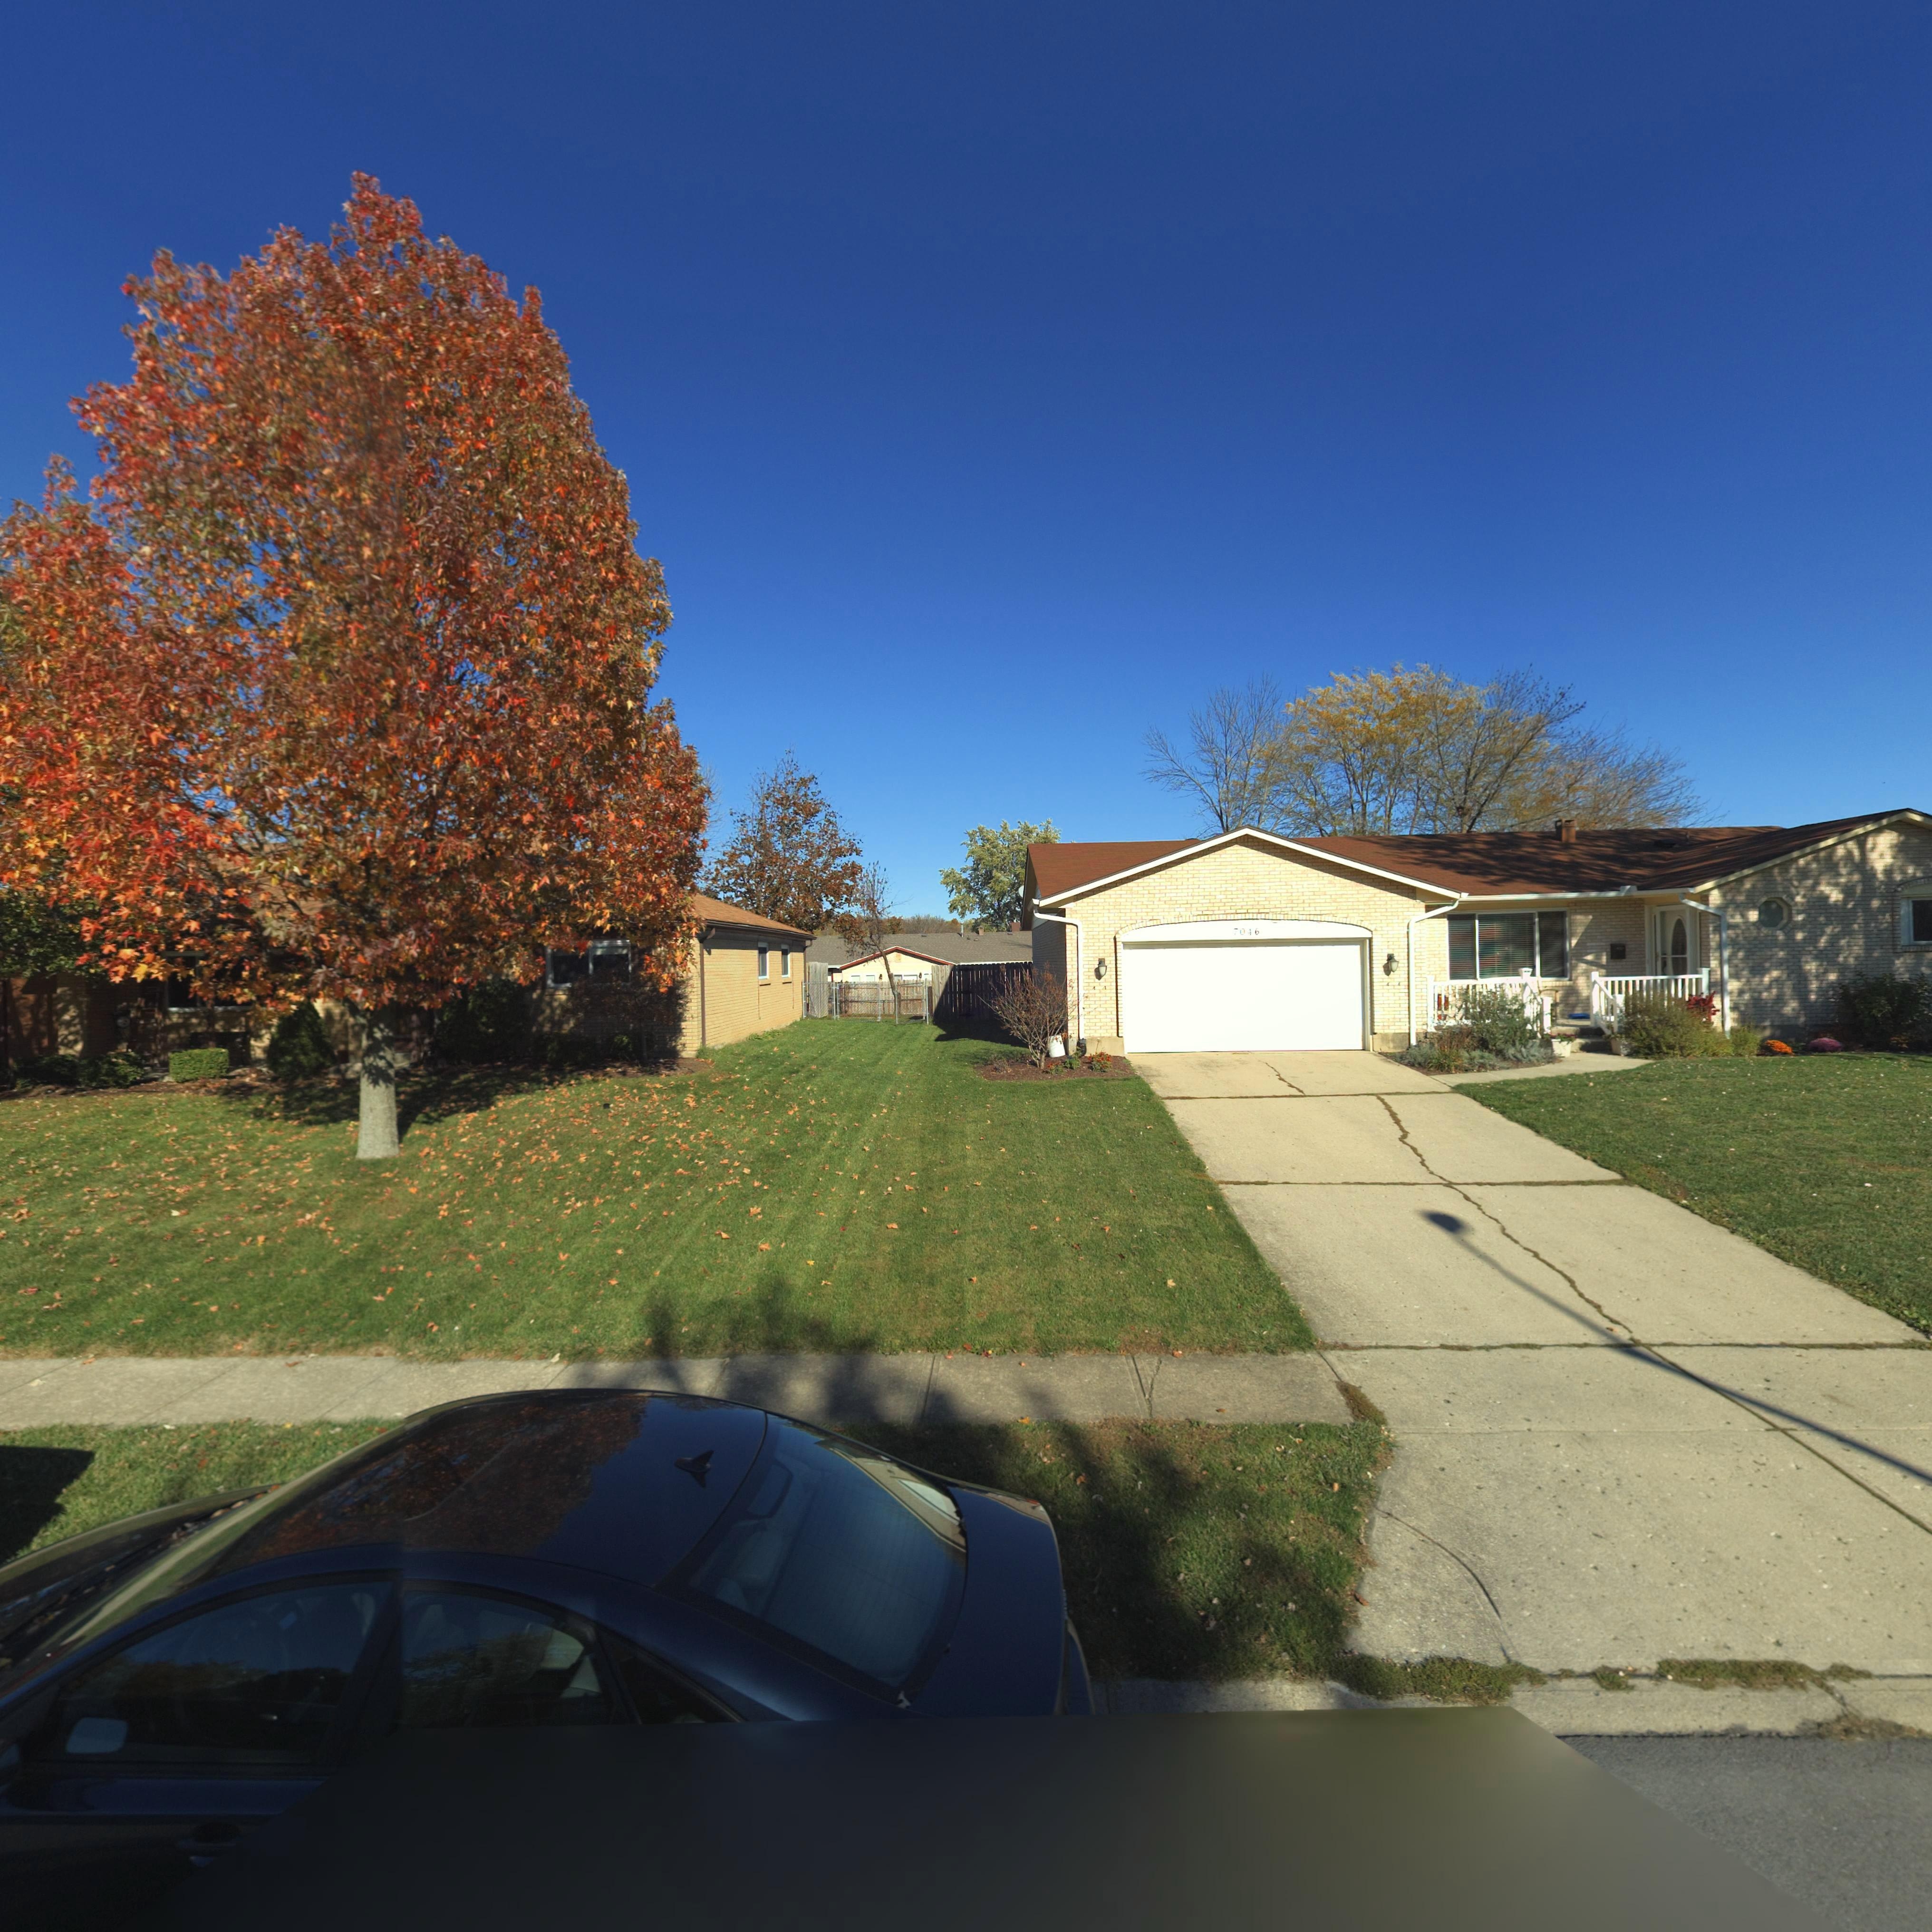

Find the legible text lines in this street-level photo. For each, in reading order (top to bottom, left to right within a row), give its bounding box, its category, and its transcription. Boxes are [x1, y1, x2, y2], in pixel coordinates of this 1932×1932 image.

[1233, 927, 1260, 936] StreetNumber: 7046